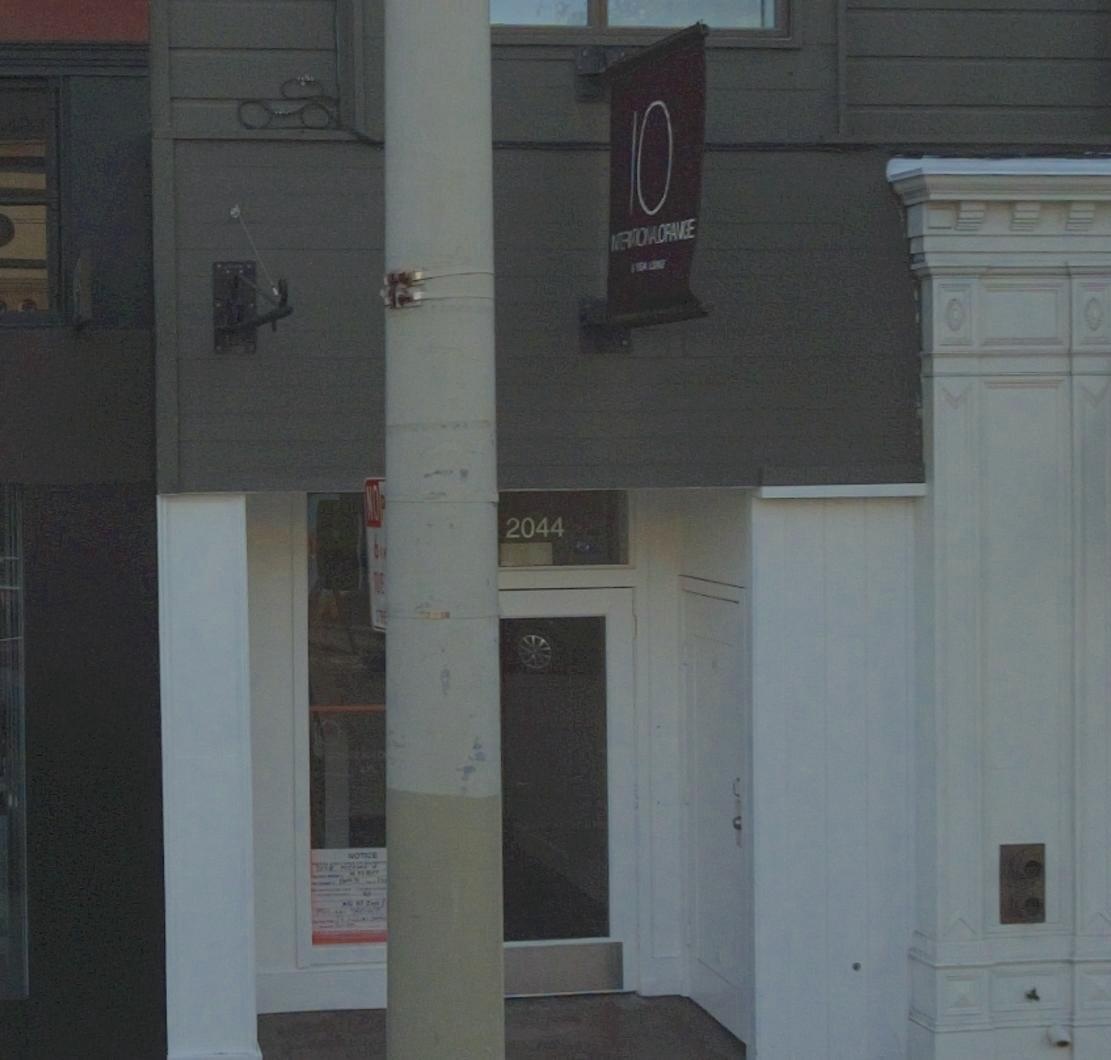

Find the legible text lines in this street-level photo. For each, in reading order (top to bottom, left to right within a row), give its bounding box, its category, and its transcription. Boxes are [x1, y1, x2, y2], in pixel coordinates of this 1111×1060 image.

[626, 97, 674, 220] None: 10
[363, 483, 381, 524] None: NO
[503, 514, 566, 540] StreetNumber: 2044